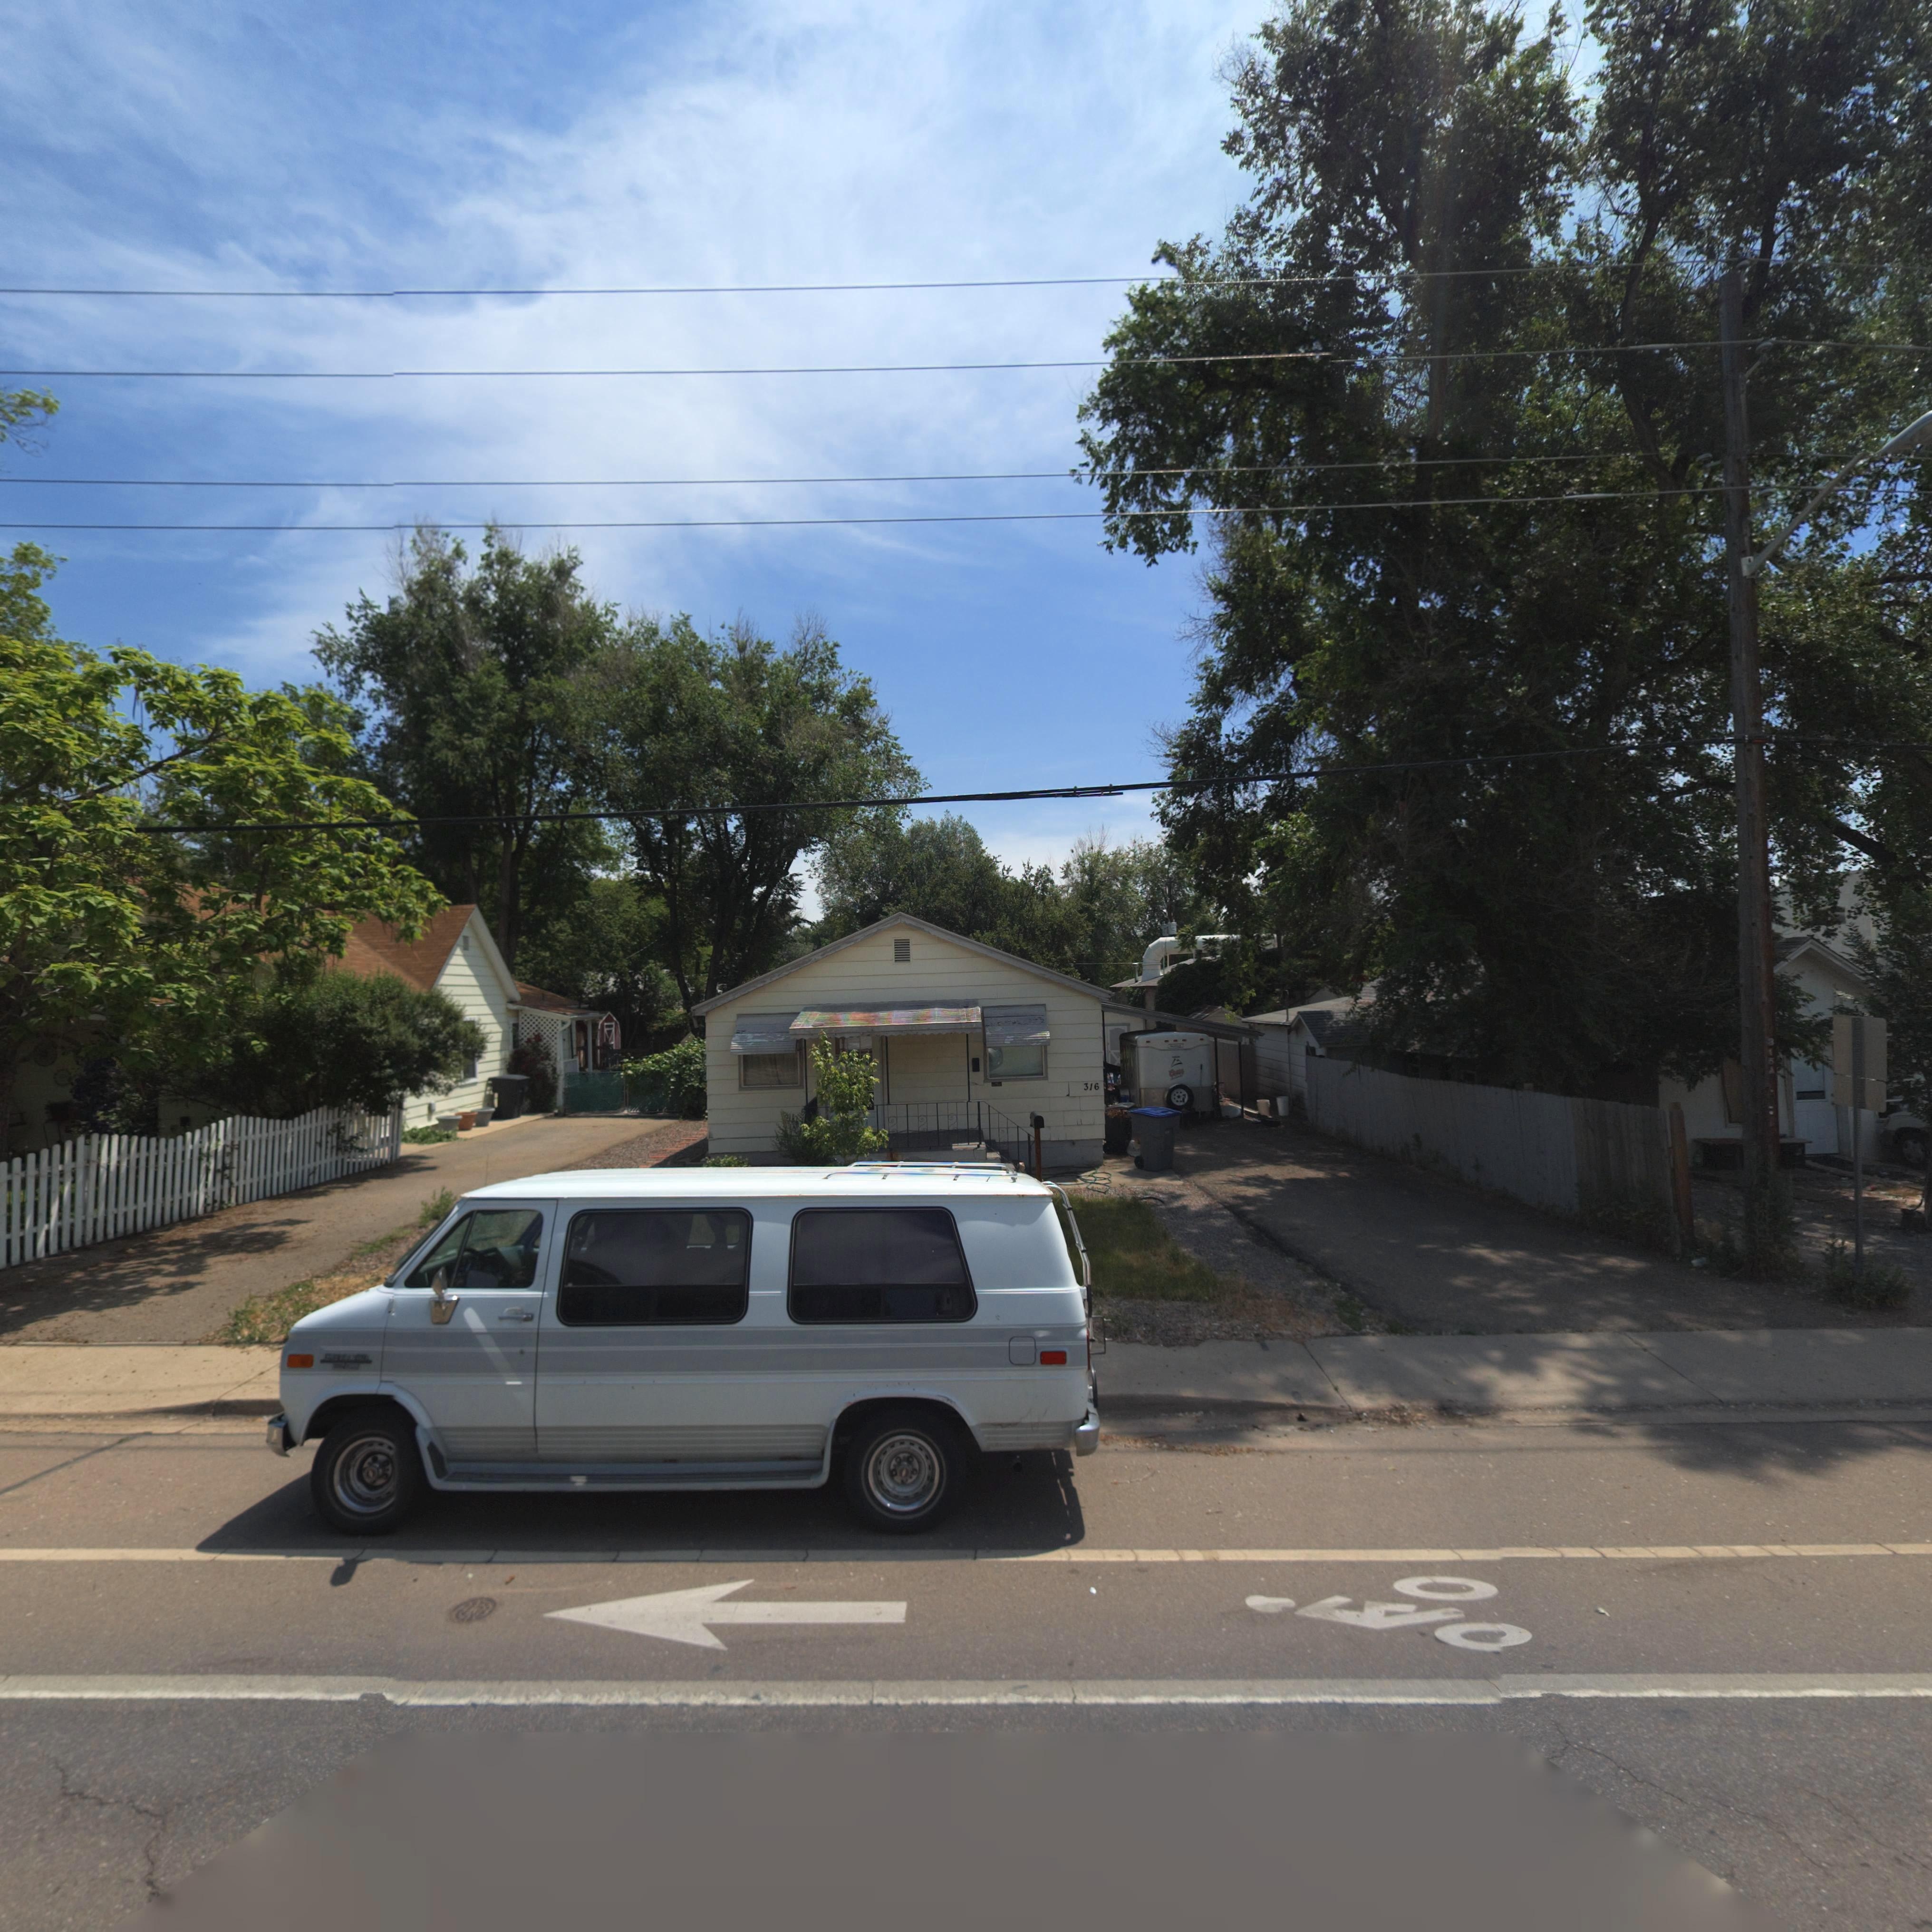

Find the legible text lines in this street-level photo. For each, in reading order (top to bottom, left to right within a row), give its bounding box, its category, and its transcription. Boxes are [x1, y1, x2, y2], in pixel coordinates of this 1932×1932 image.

[1083, 1082, 1099, 1091] StreetNumber: 316